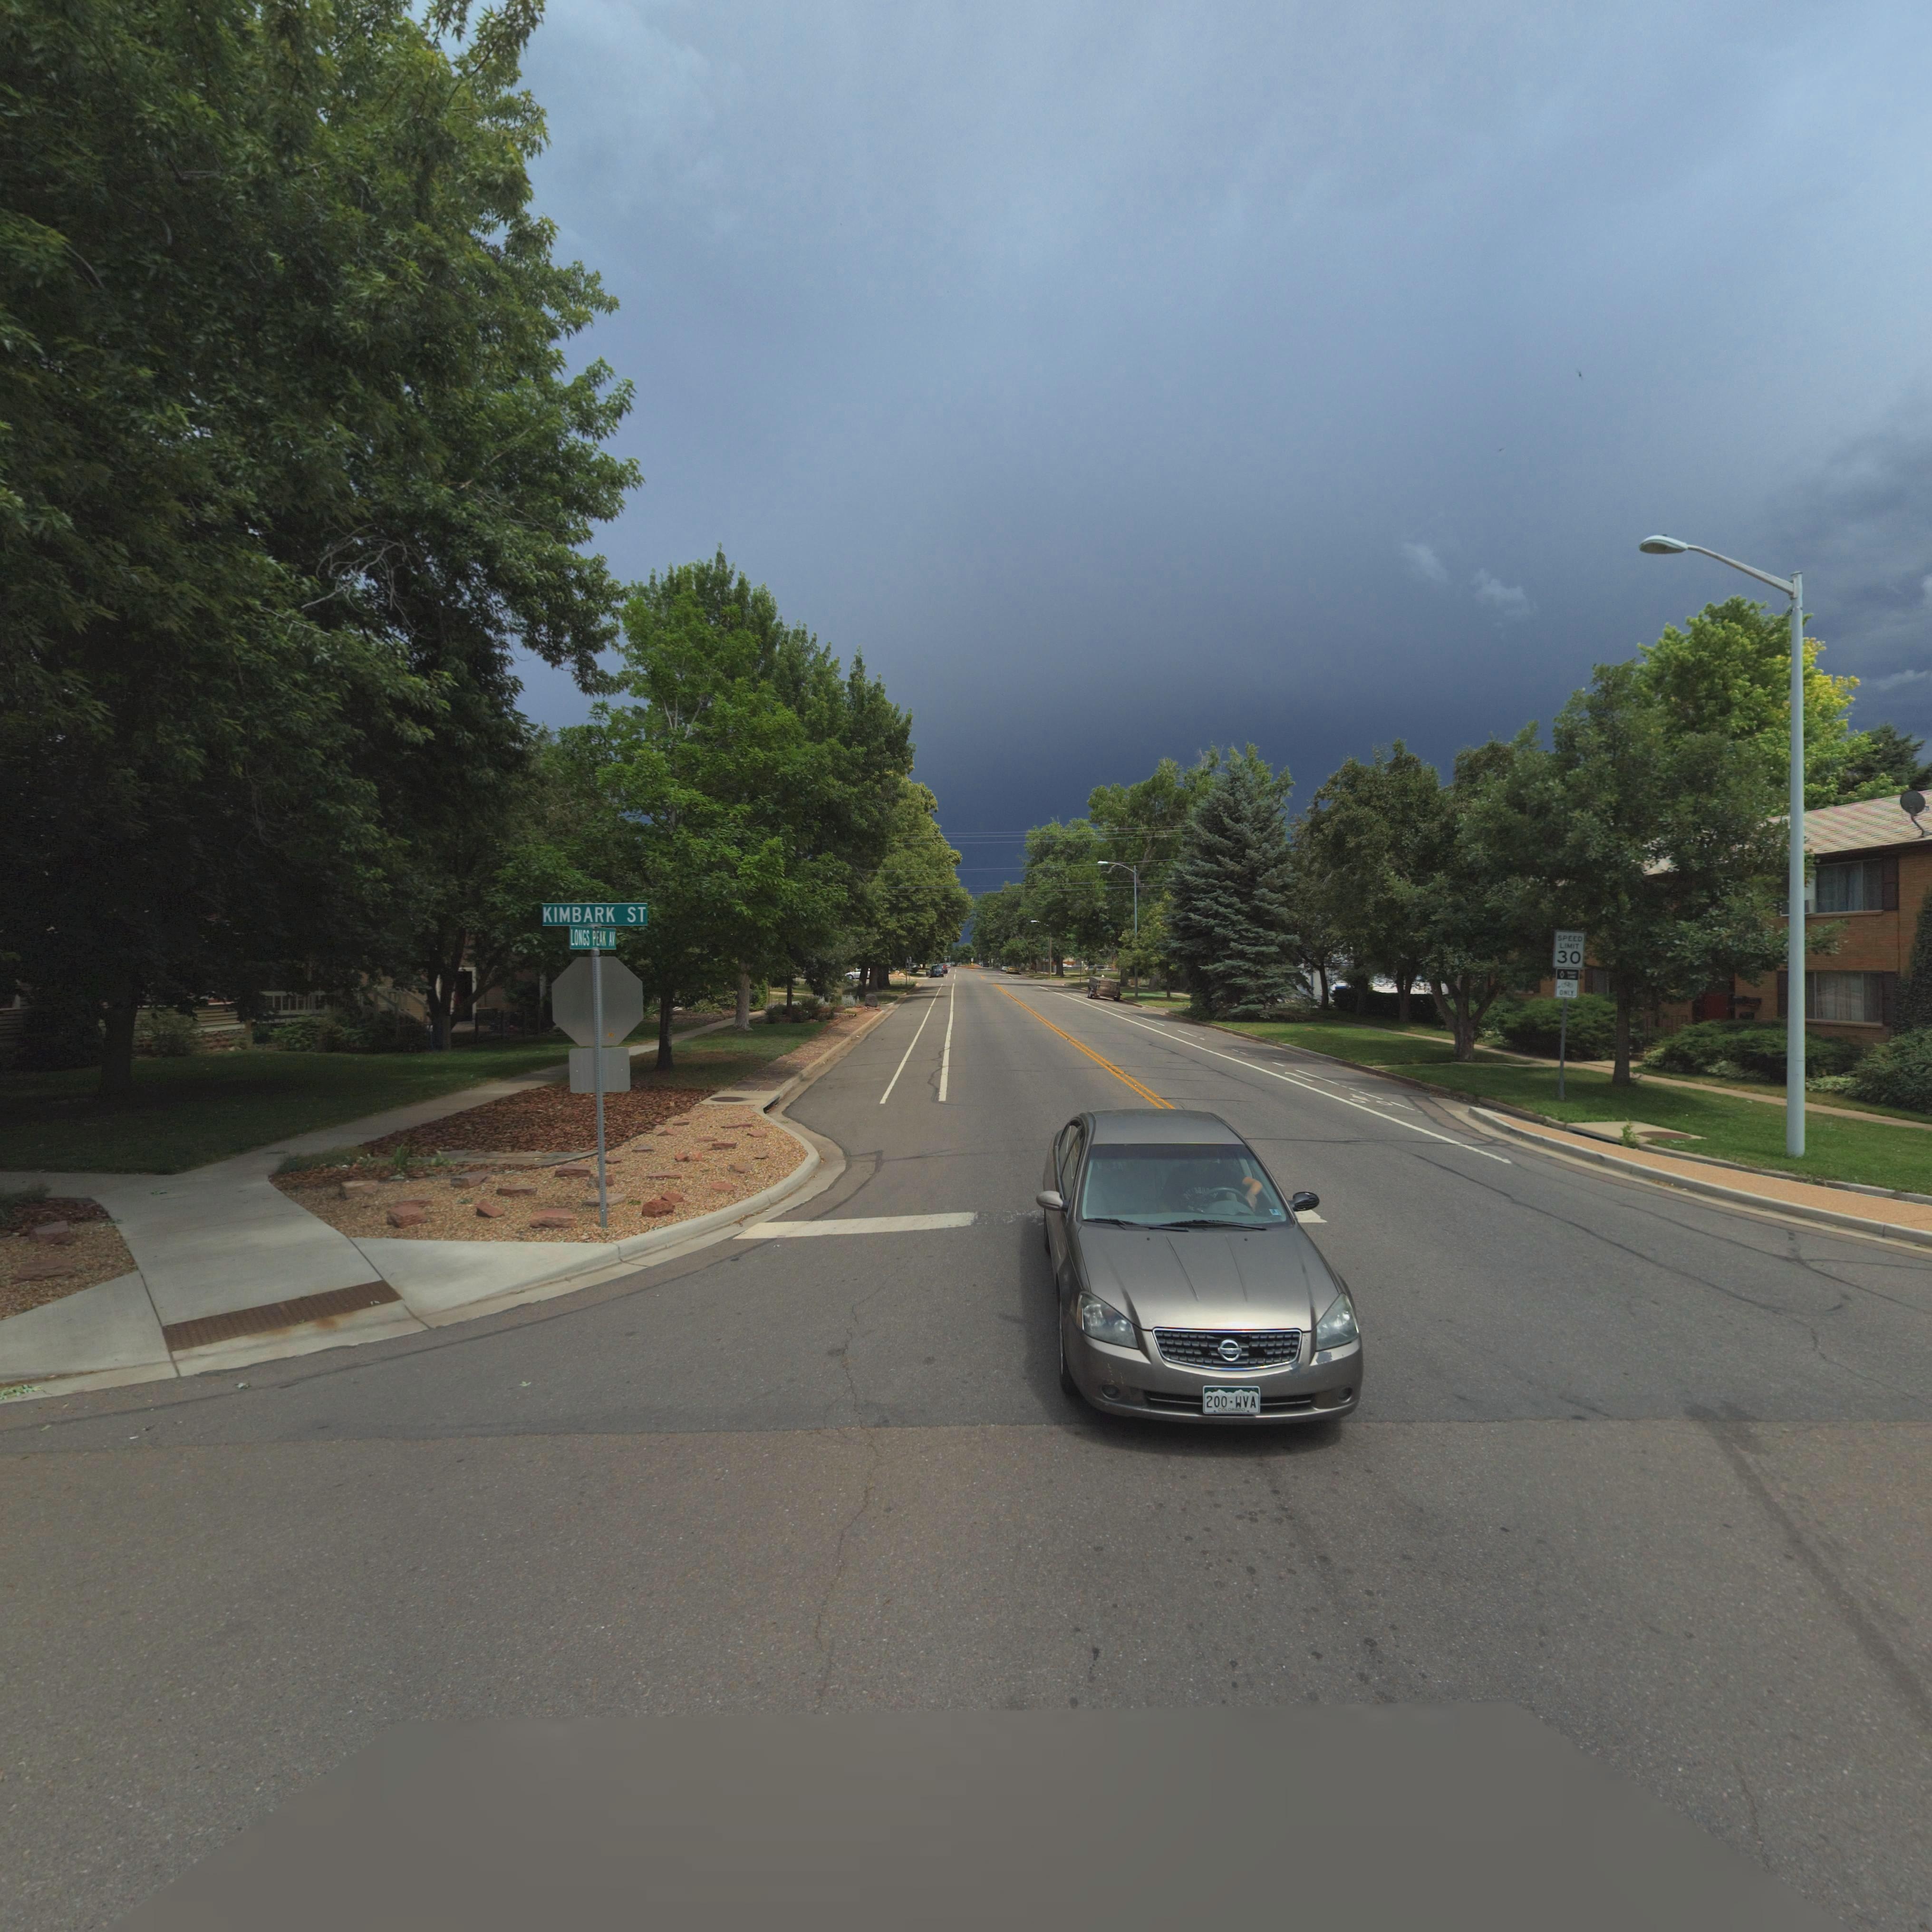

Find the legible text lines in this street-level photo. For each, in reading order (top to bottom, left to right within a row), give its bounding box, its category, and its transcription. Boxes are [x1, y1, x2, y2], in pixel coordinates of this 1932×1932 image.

[543, 906, 647, 923] StreetName: KIMBARK ST
[570, 928, 616, 946] StreetName: LONGS PEAK AV